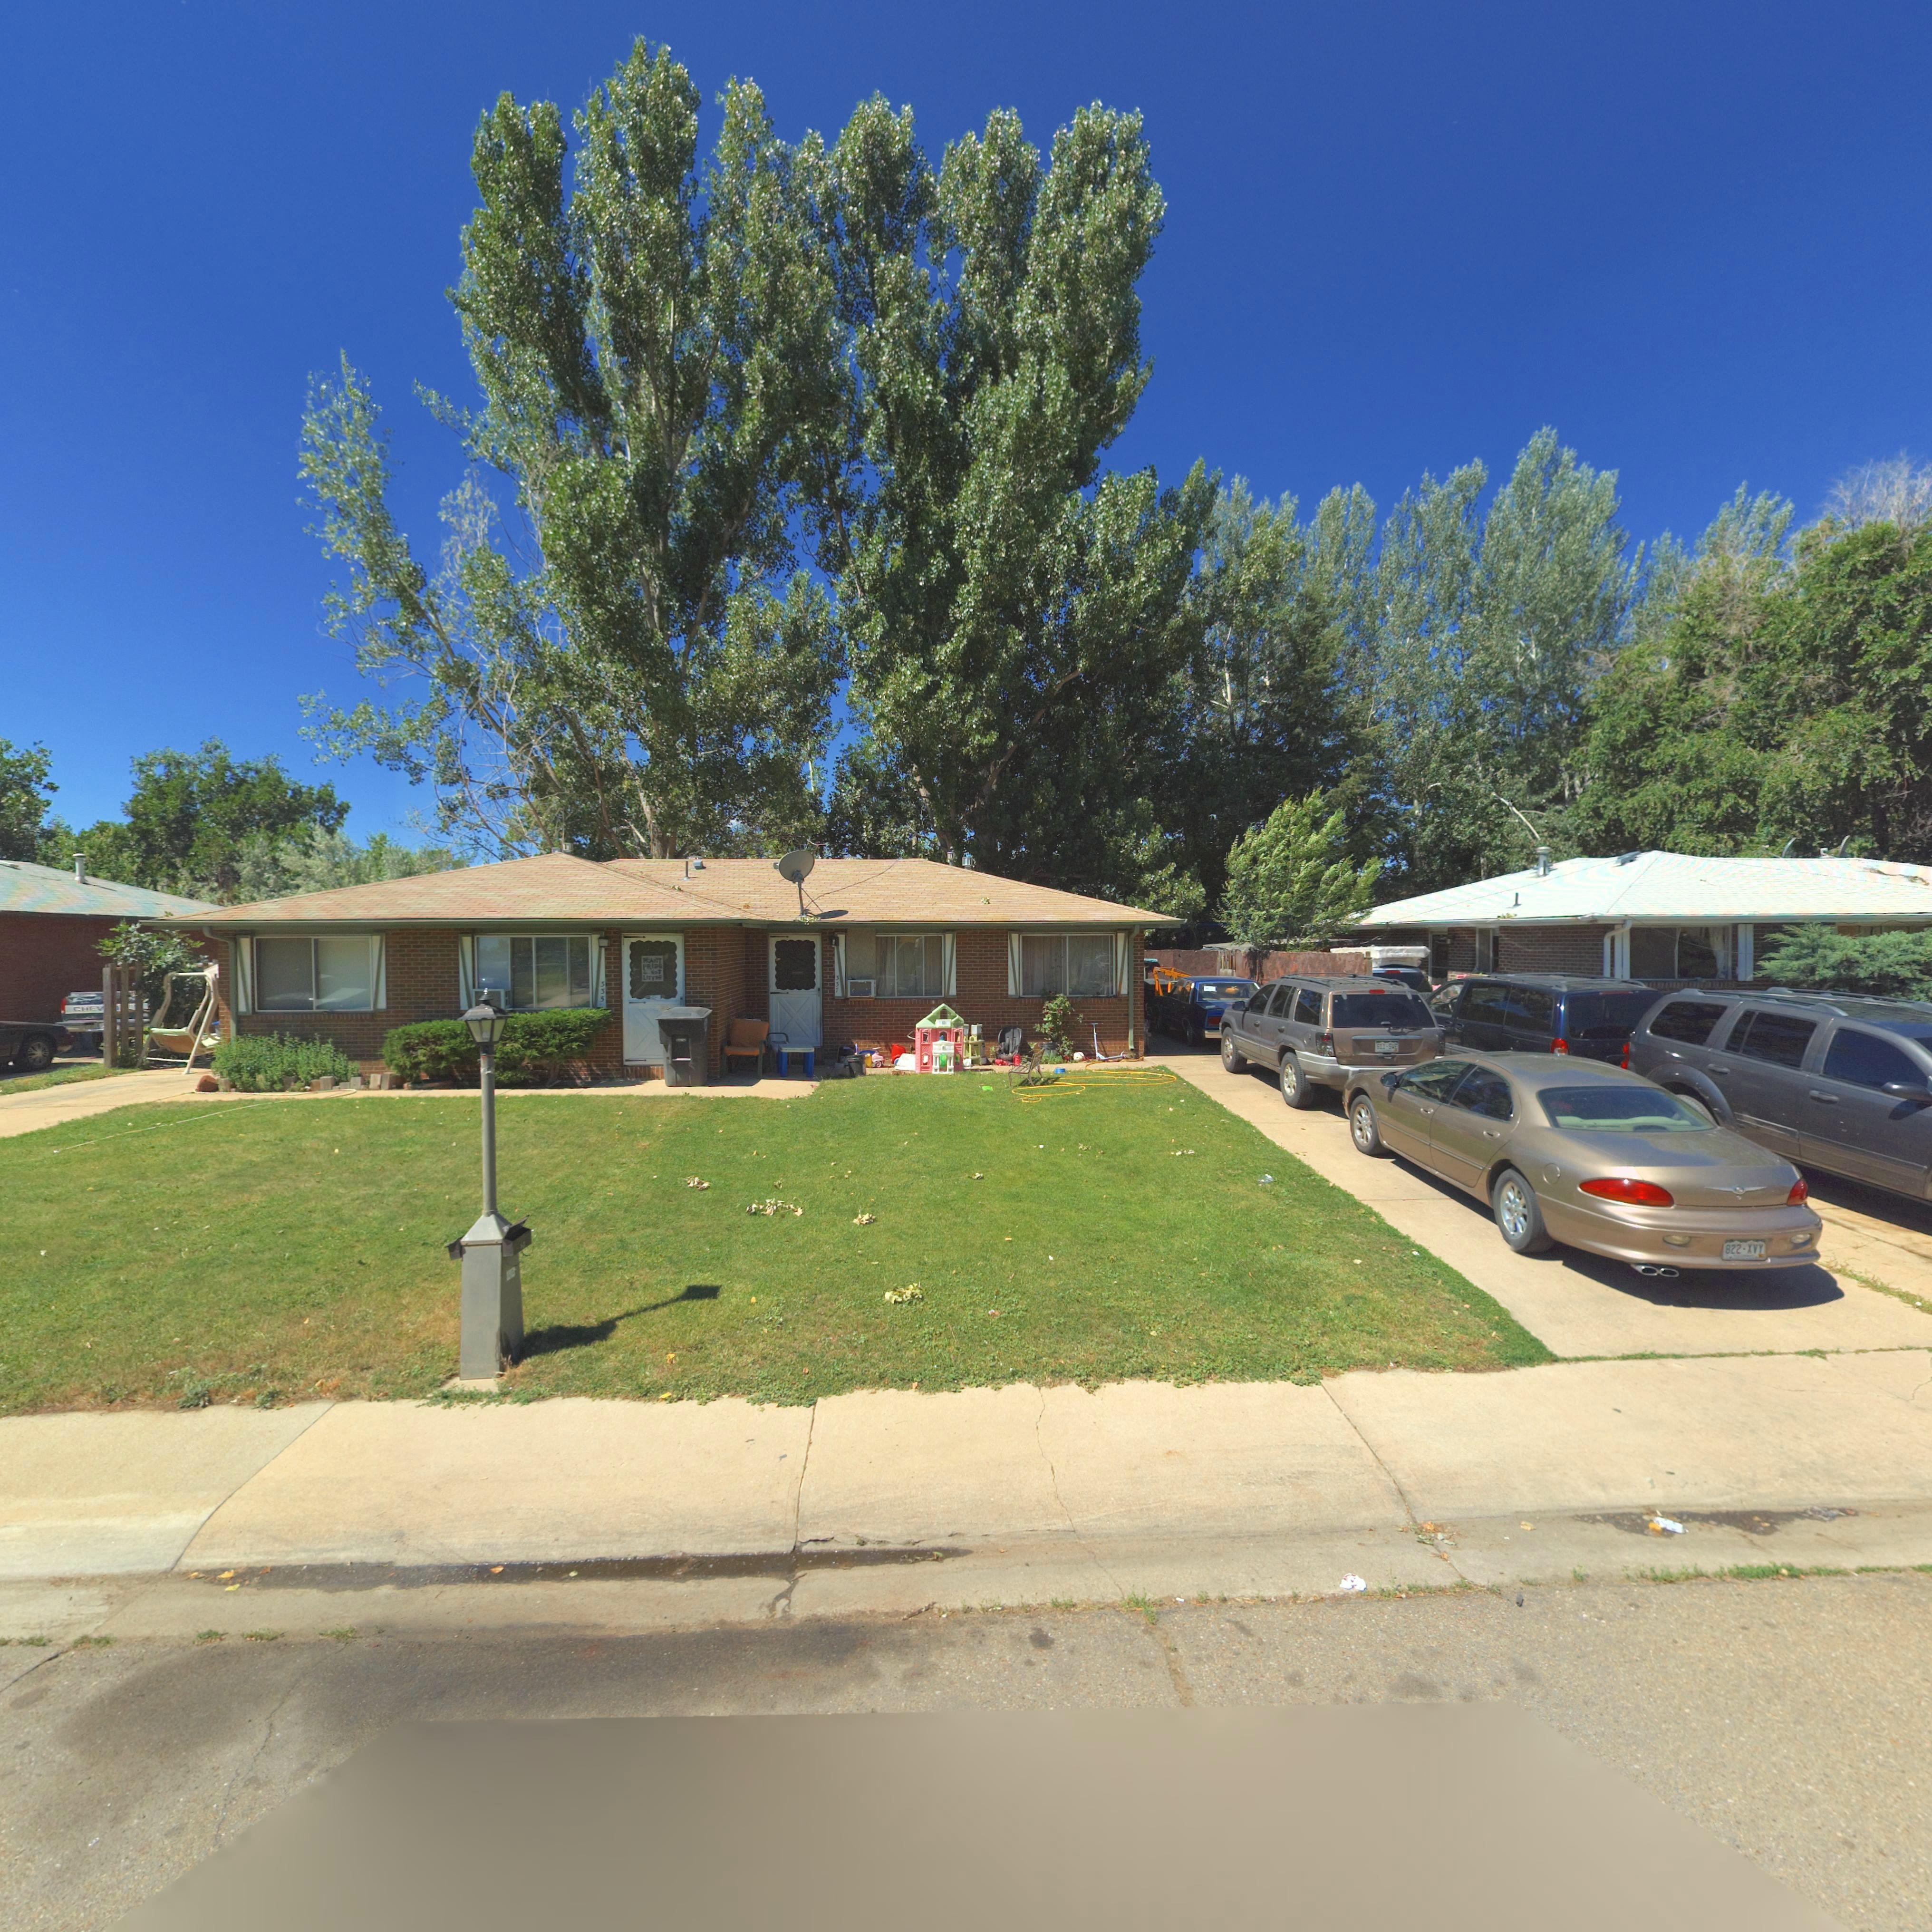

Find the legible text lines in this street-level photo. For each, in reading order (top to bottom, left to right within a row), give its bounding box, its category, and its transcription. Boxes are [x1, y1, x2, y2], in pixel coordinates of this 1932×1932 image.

[599, 980, 605, 1003] StreetNumber: 335
[835, 975, 839, 994] StreetNumber: 337